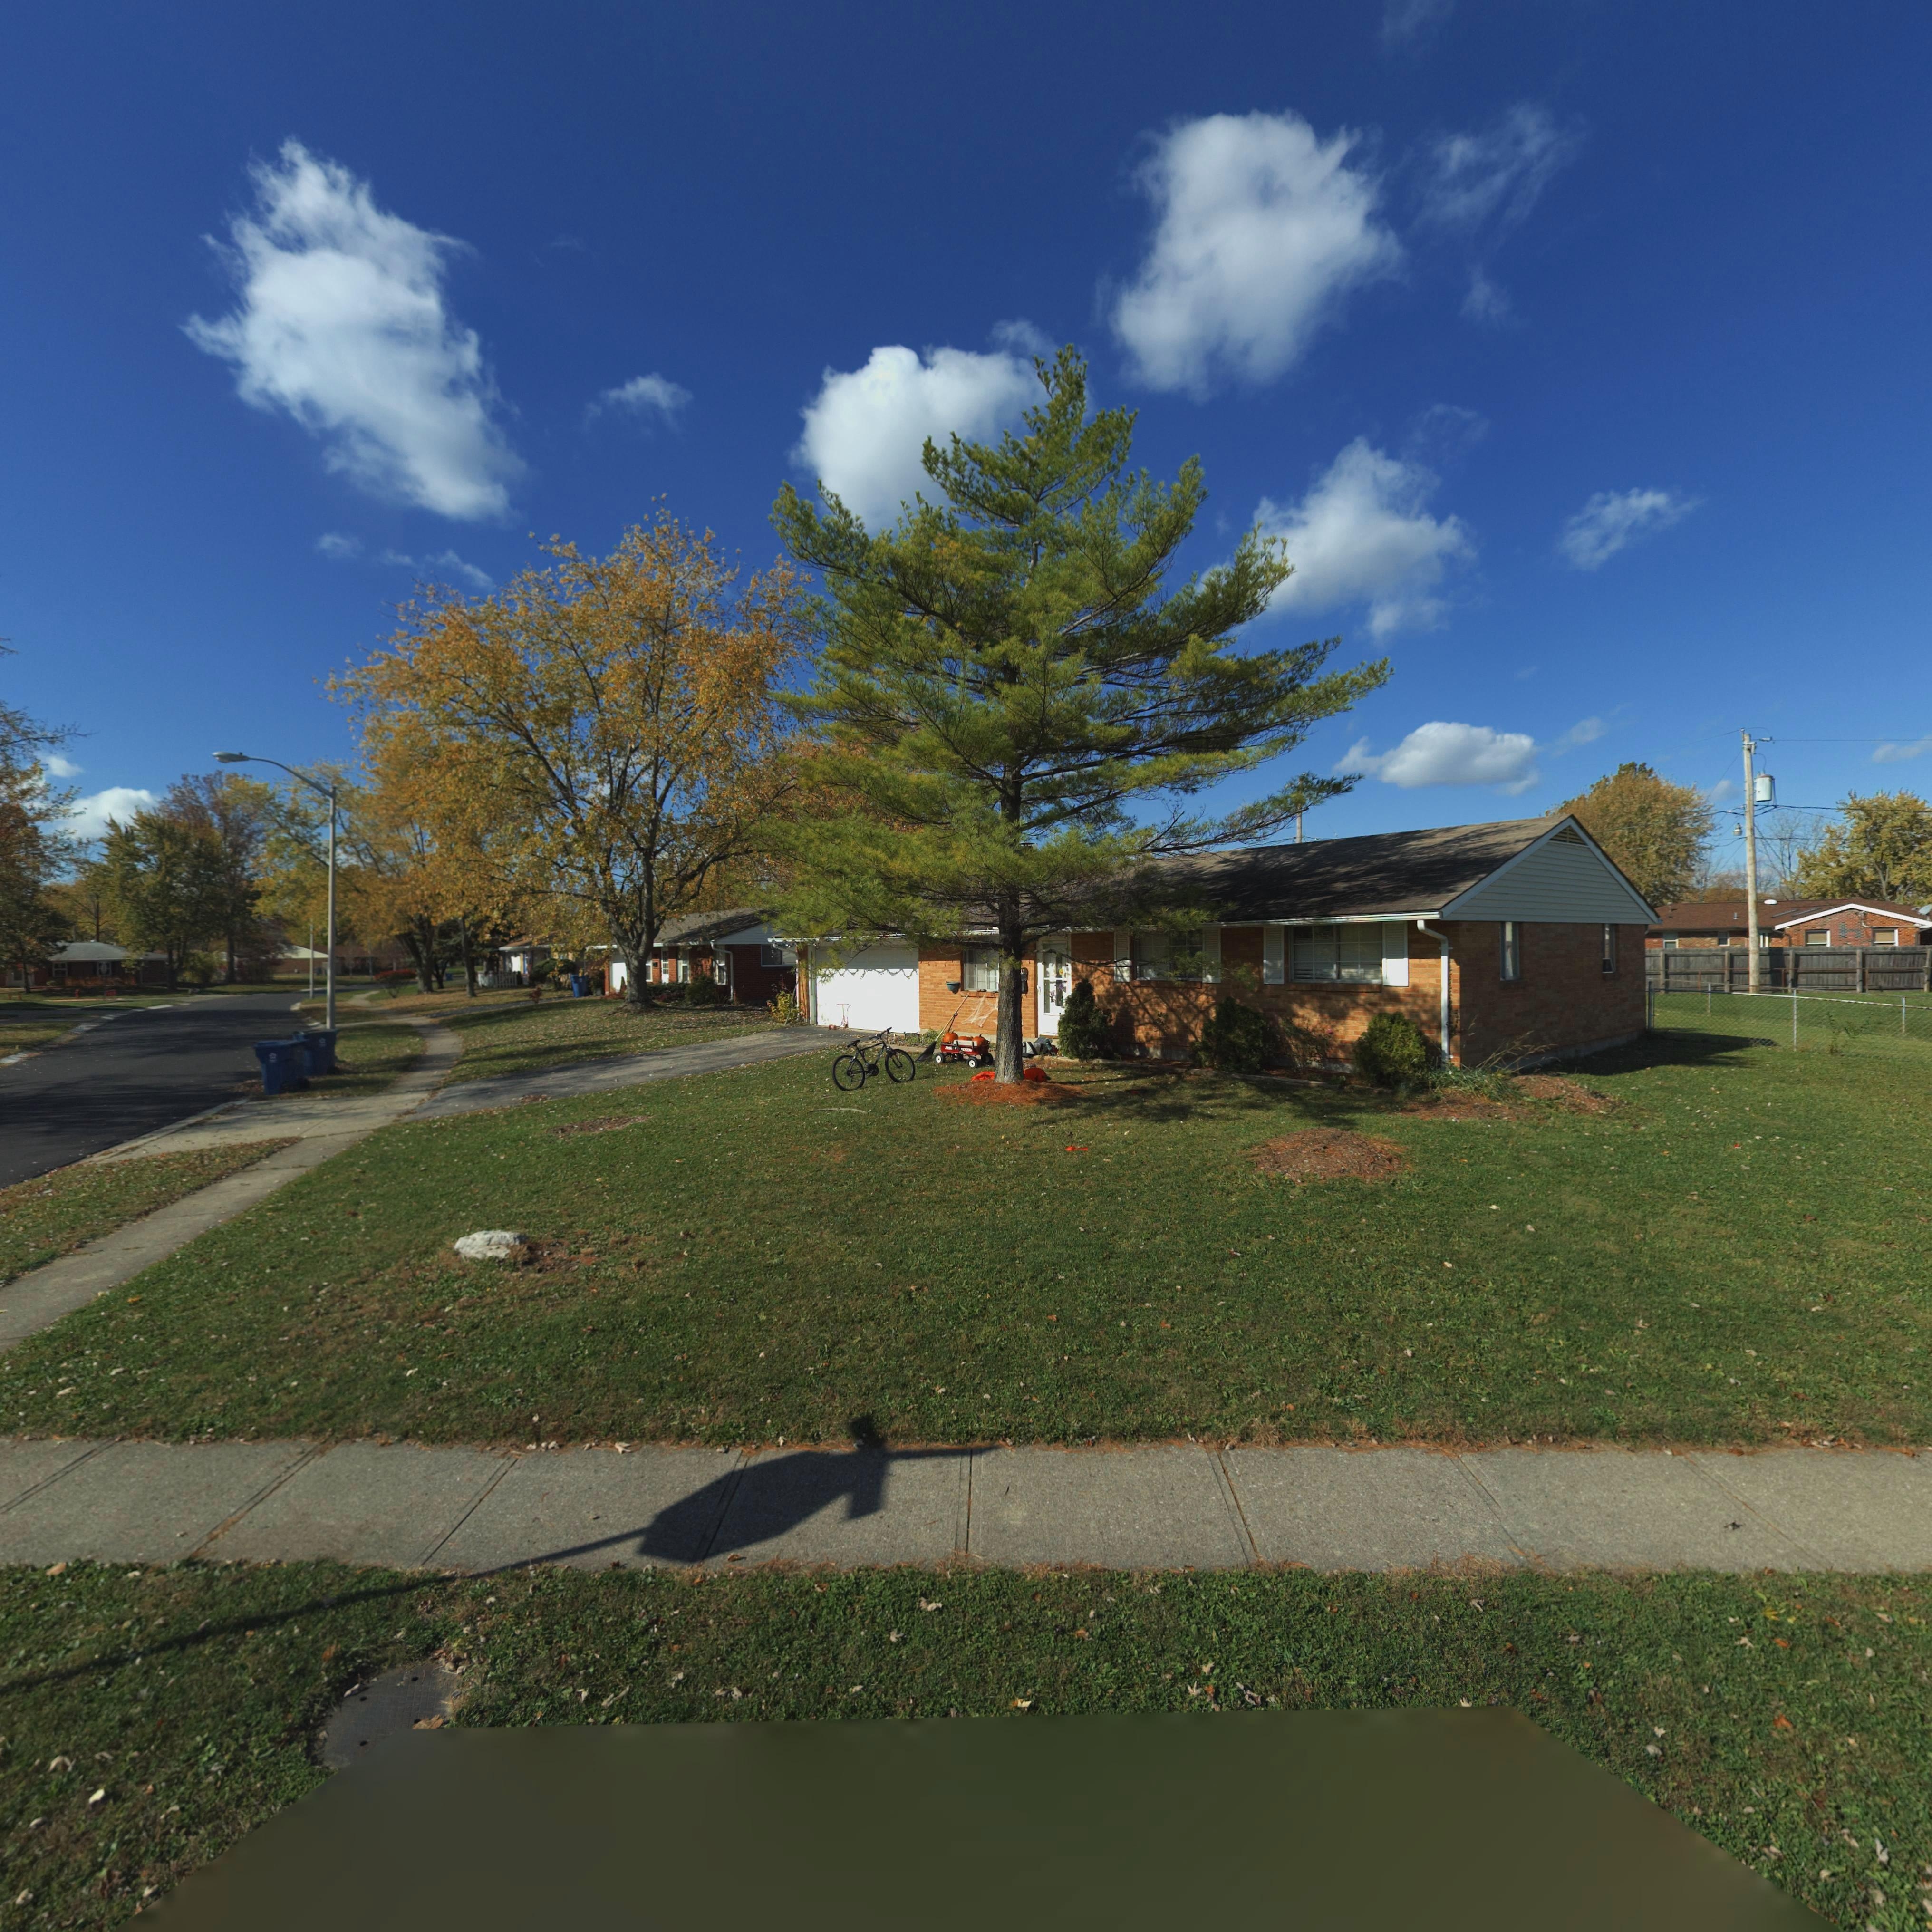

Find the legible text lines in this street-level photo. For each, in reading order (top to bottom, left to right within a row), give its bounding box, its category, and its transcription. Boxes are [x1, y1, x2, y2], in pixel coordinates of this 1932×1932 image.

[1020, 968, 1025, 975] StreetNumber: *1